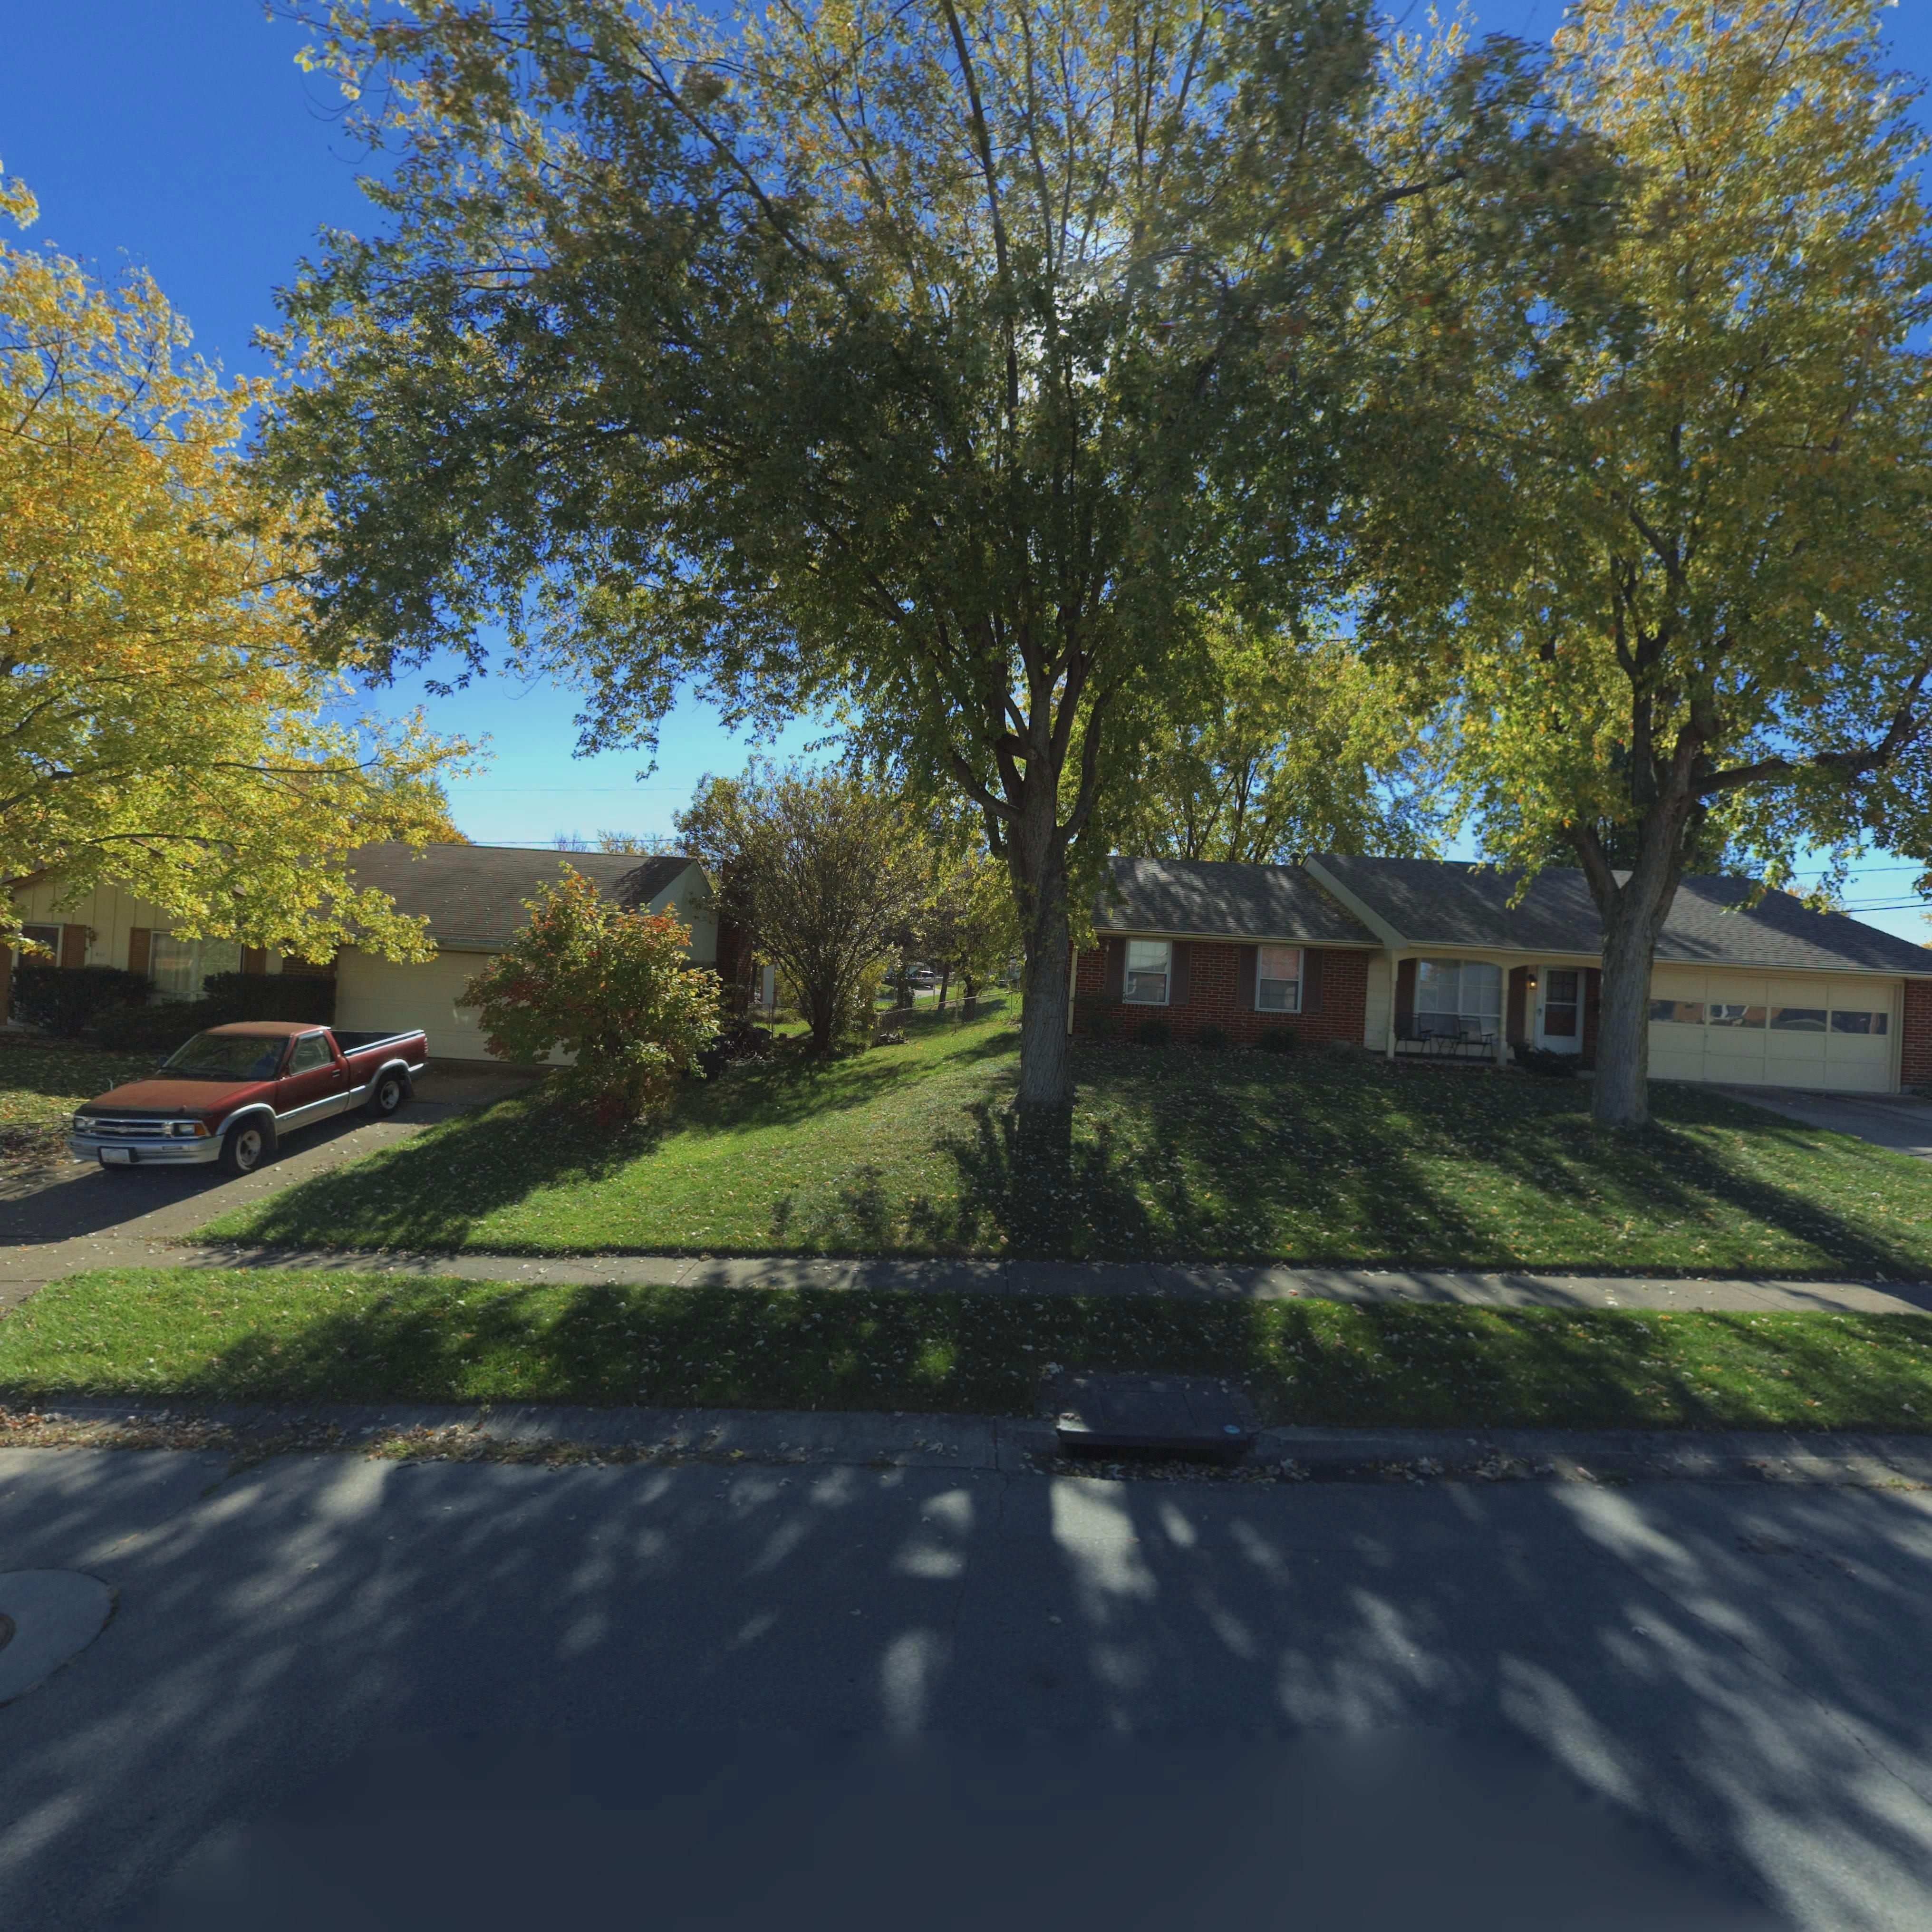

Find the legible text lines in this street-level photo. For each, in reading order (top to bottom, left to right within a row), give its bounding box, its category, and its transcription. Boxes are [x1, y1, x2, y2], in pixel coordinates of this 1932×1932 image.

[95, 951, 106, 957] StreetNumber: 811